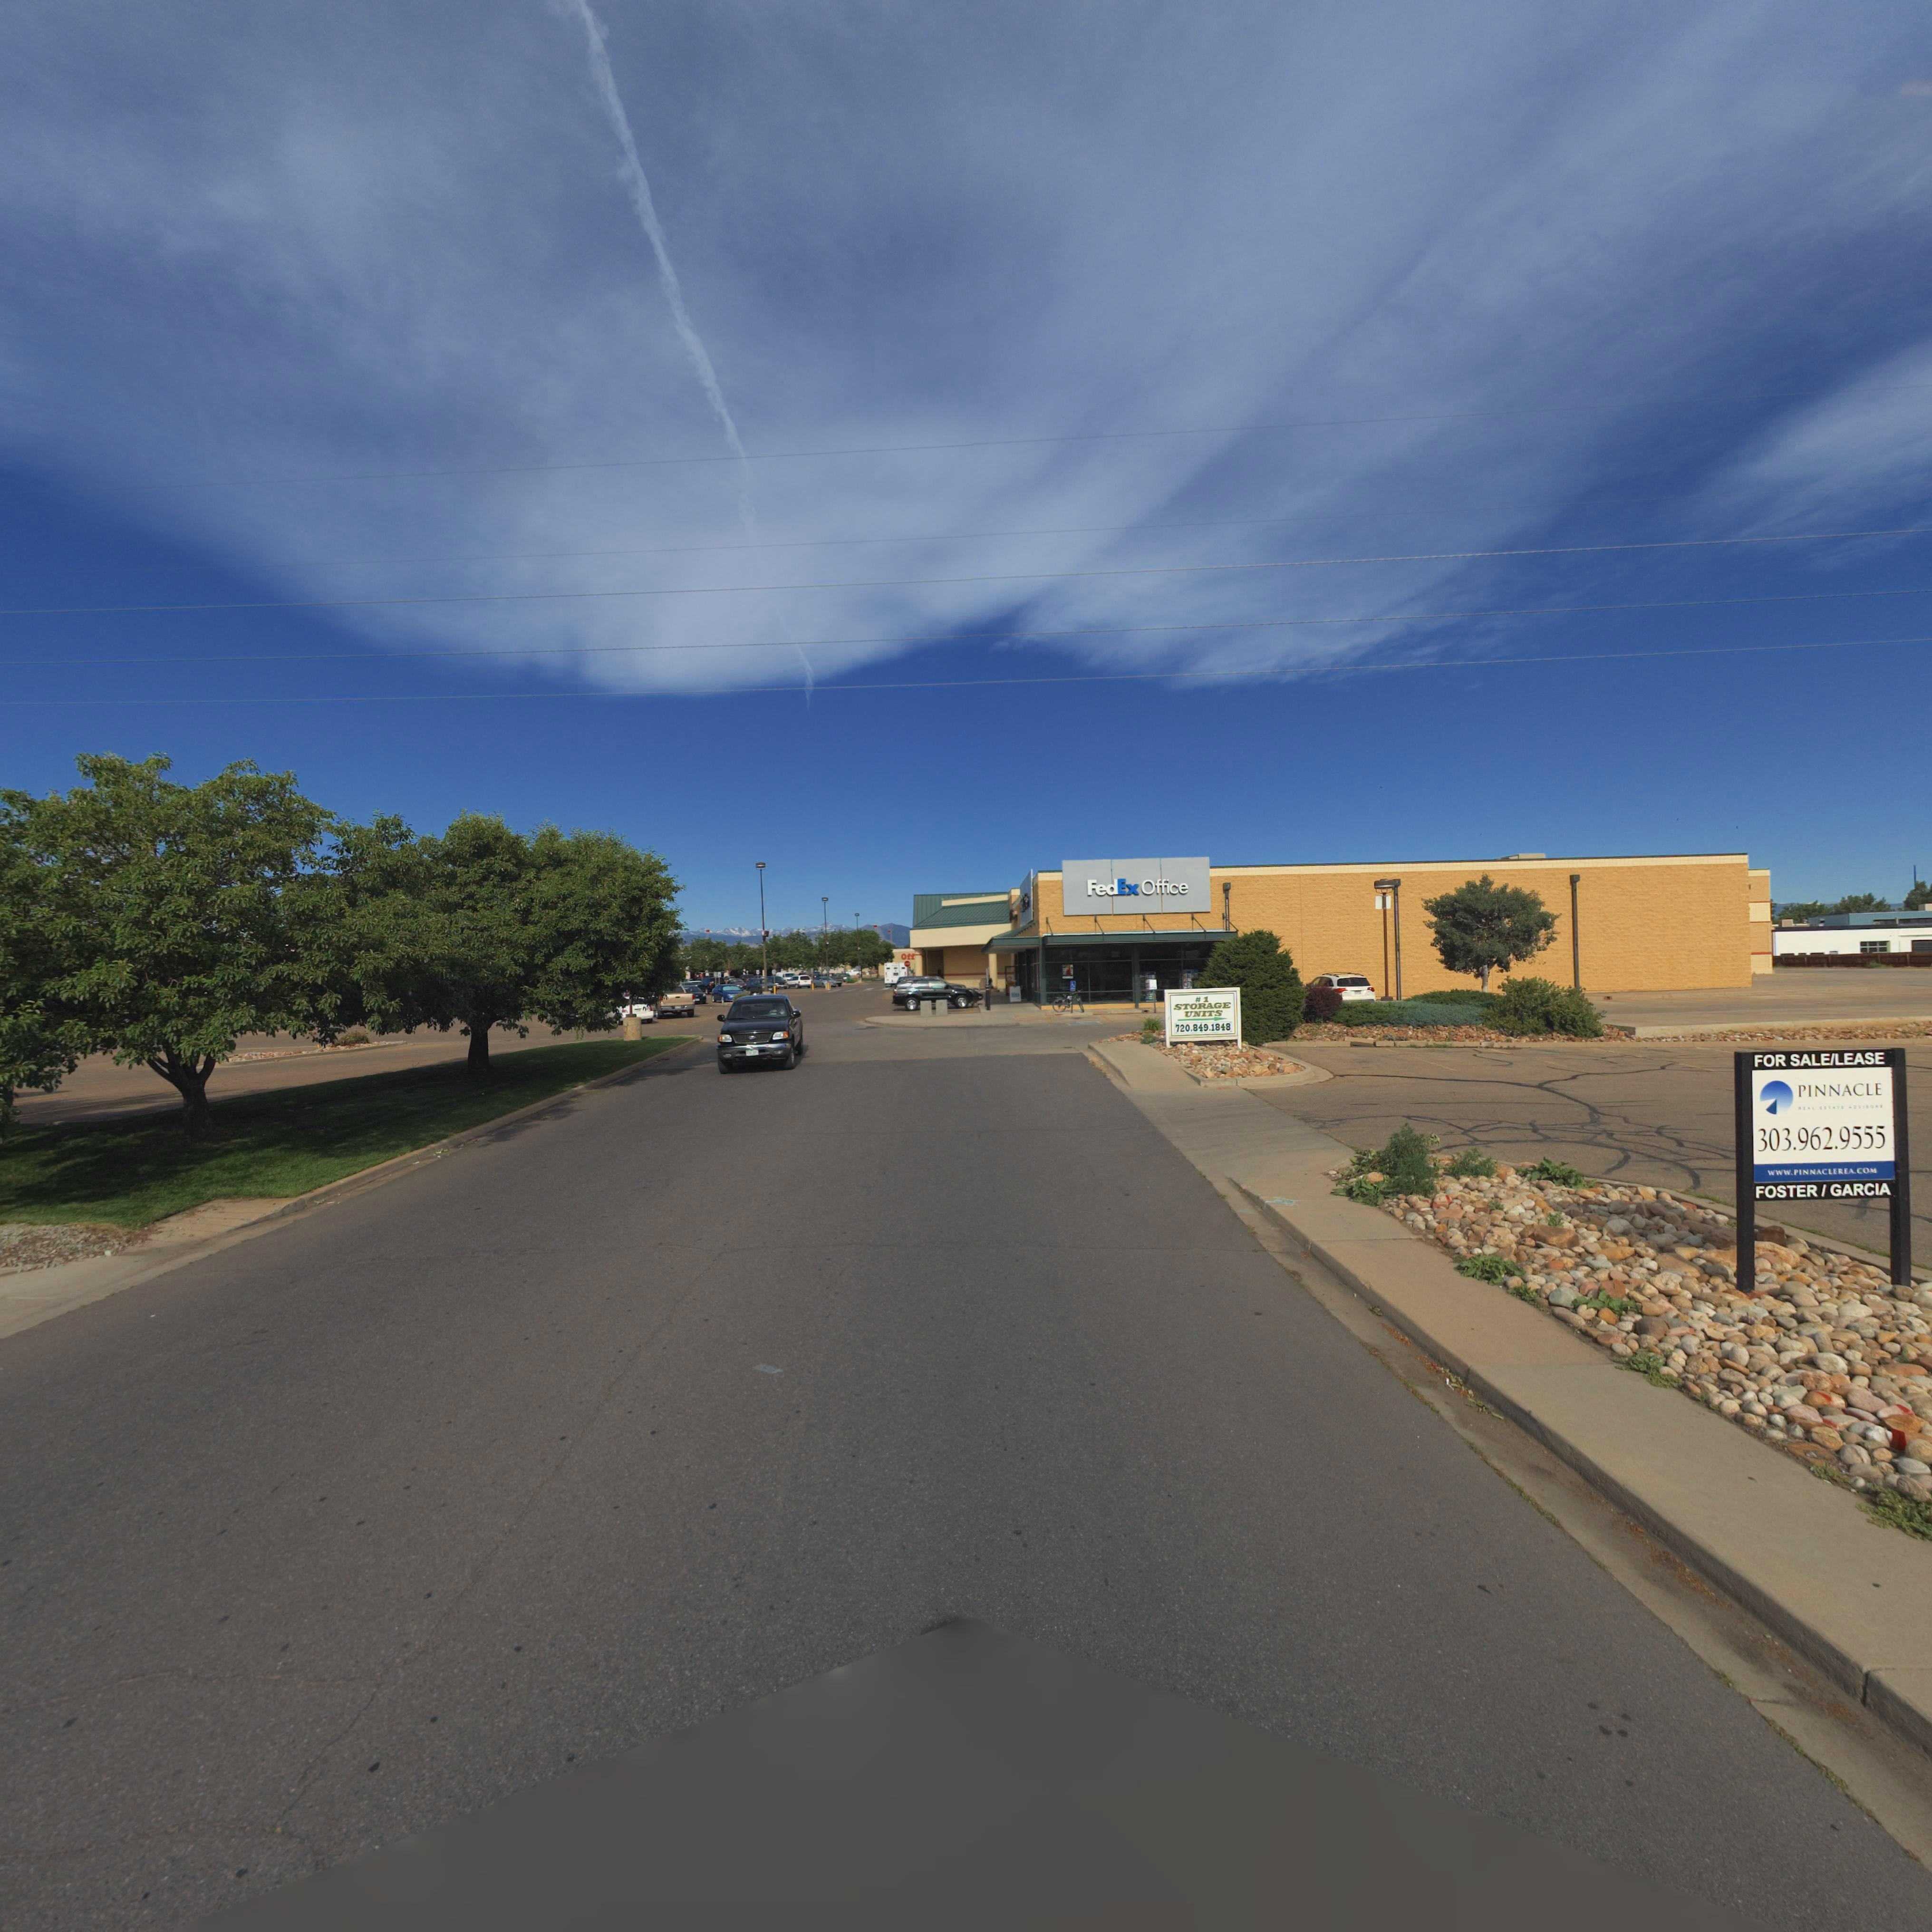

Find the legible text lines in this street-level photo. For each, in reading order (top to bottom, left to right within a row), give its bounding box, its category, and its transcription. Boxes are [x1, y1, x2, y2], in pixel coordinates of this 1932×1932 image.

[1087, 878, 1188, 896] BusinessName: FedEx Office
[900, 953, 914, 960] BusinessName: Off
[1195, 996, 1208, 1002] BusinessName: *1
[1173, 1002, 1231, 1010] BusinessName: STPRAGE
[1184, 1010, 1223, 1017] BusinessName: UNITS